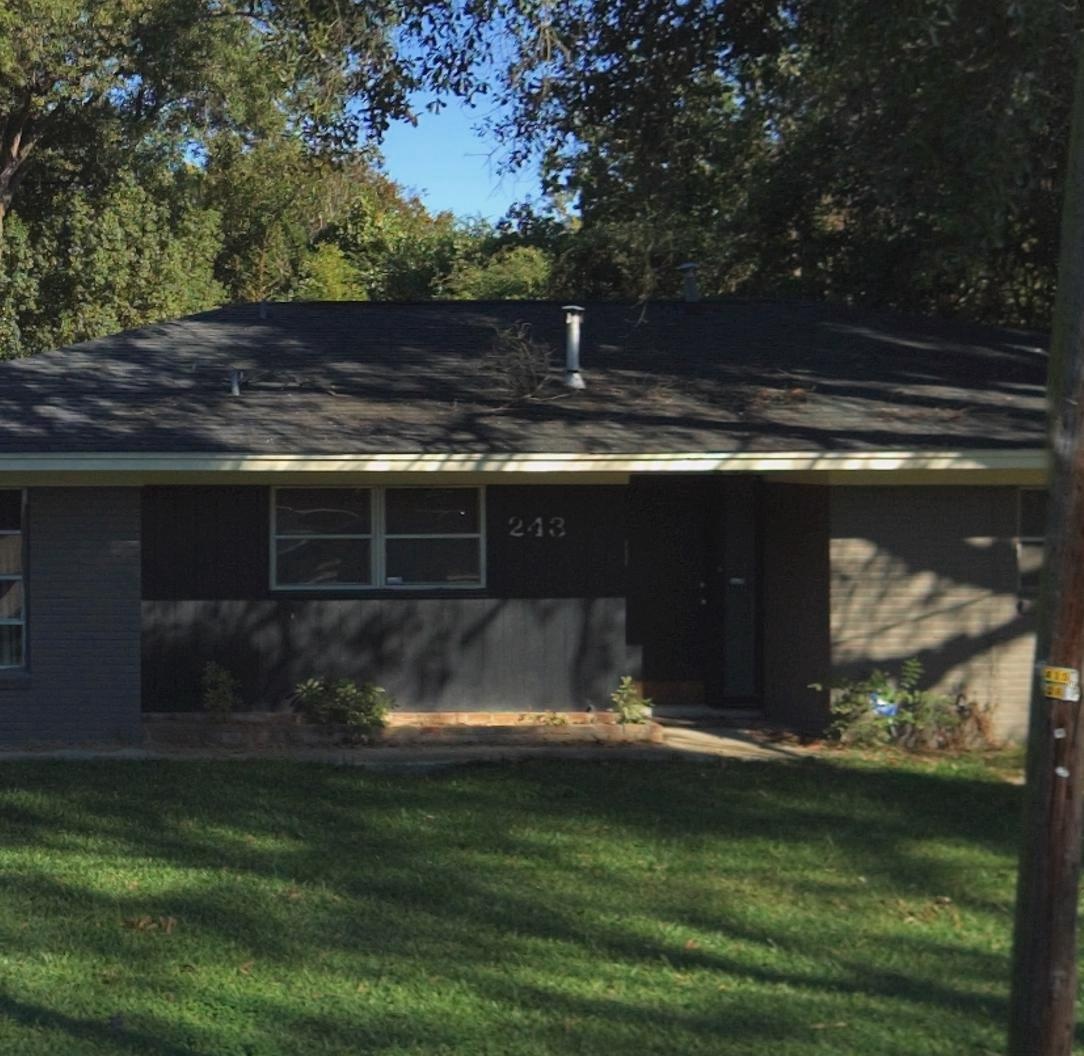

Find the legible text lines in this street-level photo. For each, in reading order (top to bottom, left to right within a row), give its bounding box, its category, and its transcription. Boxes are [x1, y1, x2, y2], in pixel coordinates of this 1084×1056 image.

[505, 513, 569, 541] StreetNumber: 243